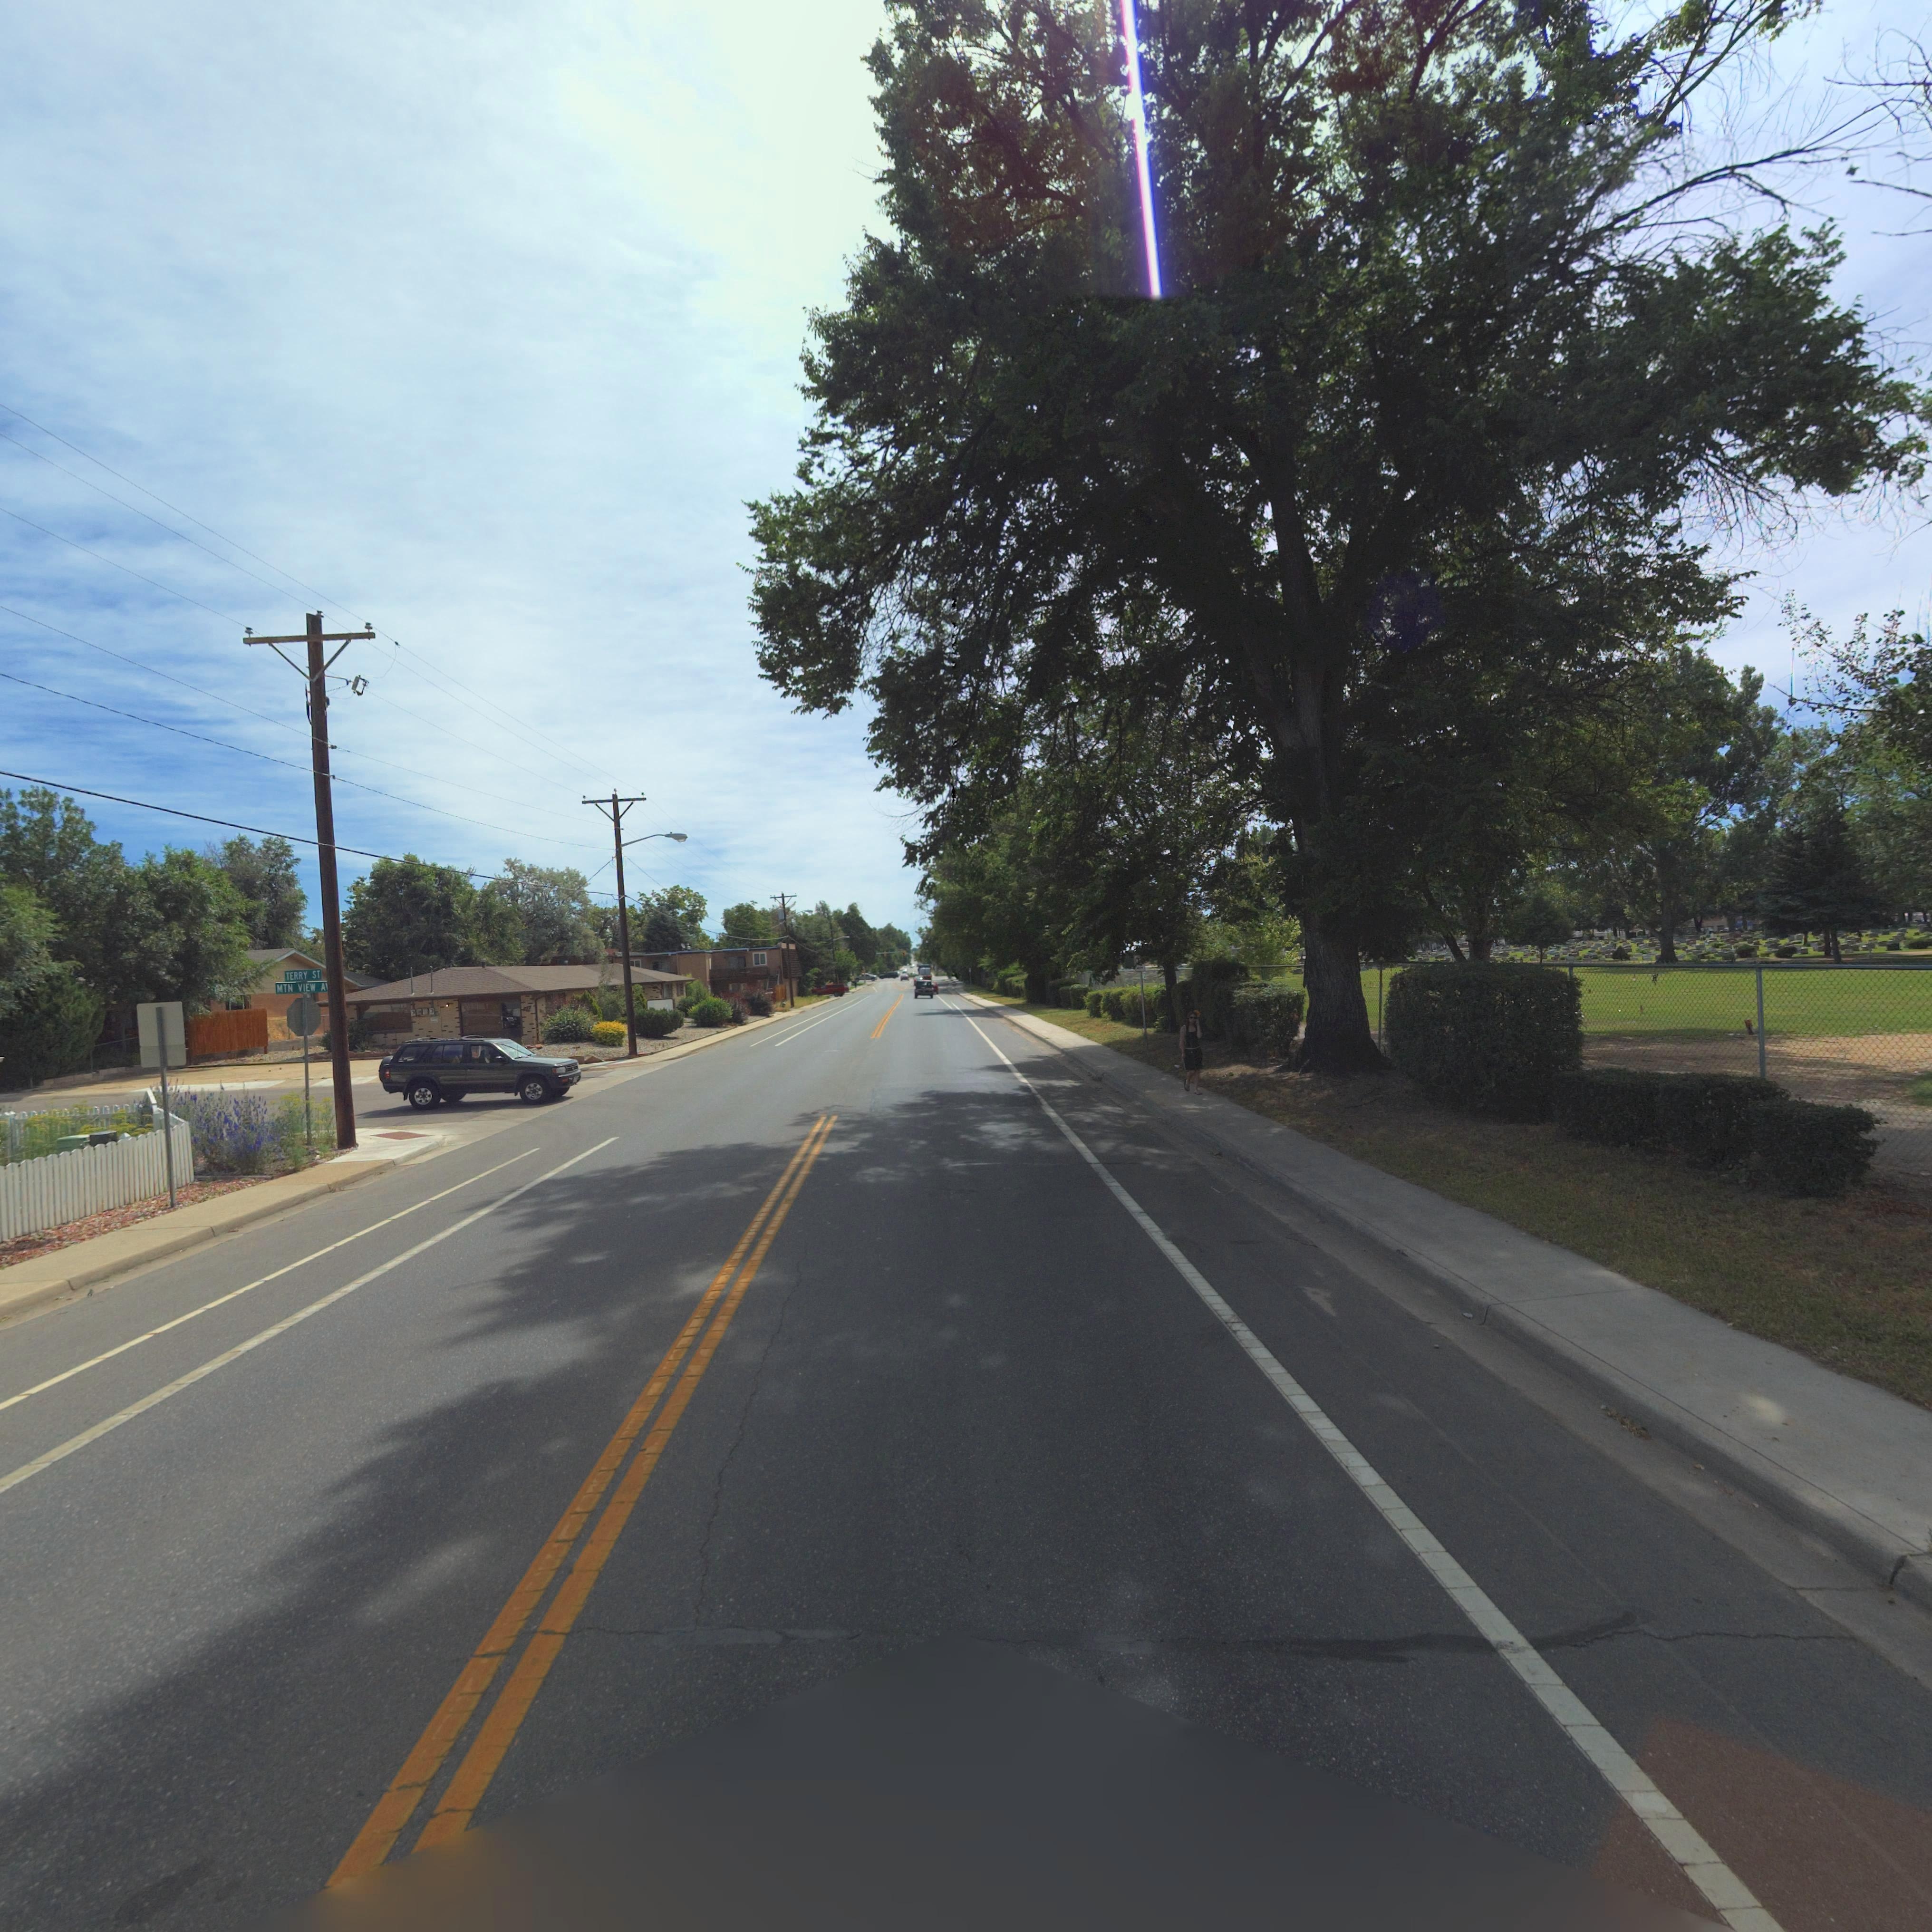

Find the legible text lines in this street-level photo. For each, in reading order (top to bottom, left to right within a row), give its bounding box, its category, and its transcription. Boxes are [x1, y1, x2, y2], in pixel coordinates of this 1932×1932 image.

[285, 970, 320, 980] StreetName: TERRY ST
[276, 982, 328, 993] StreetName: MTN VIEW A*